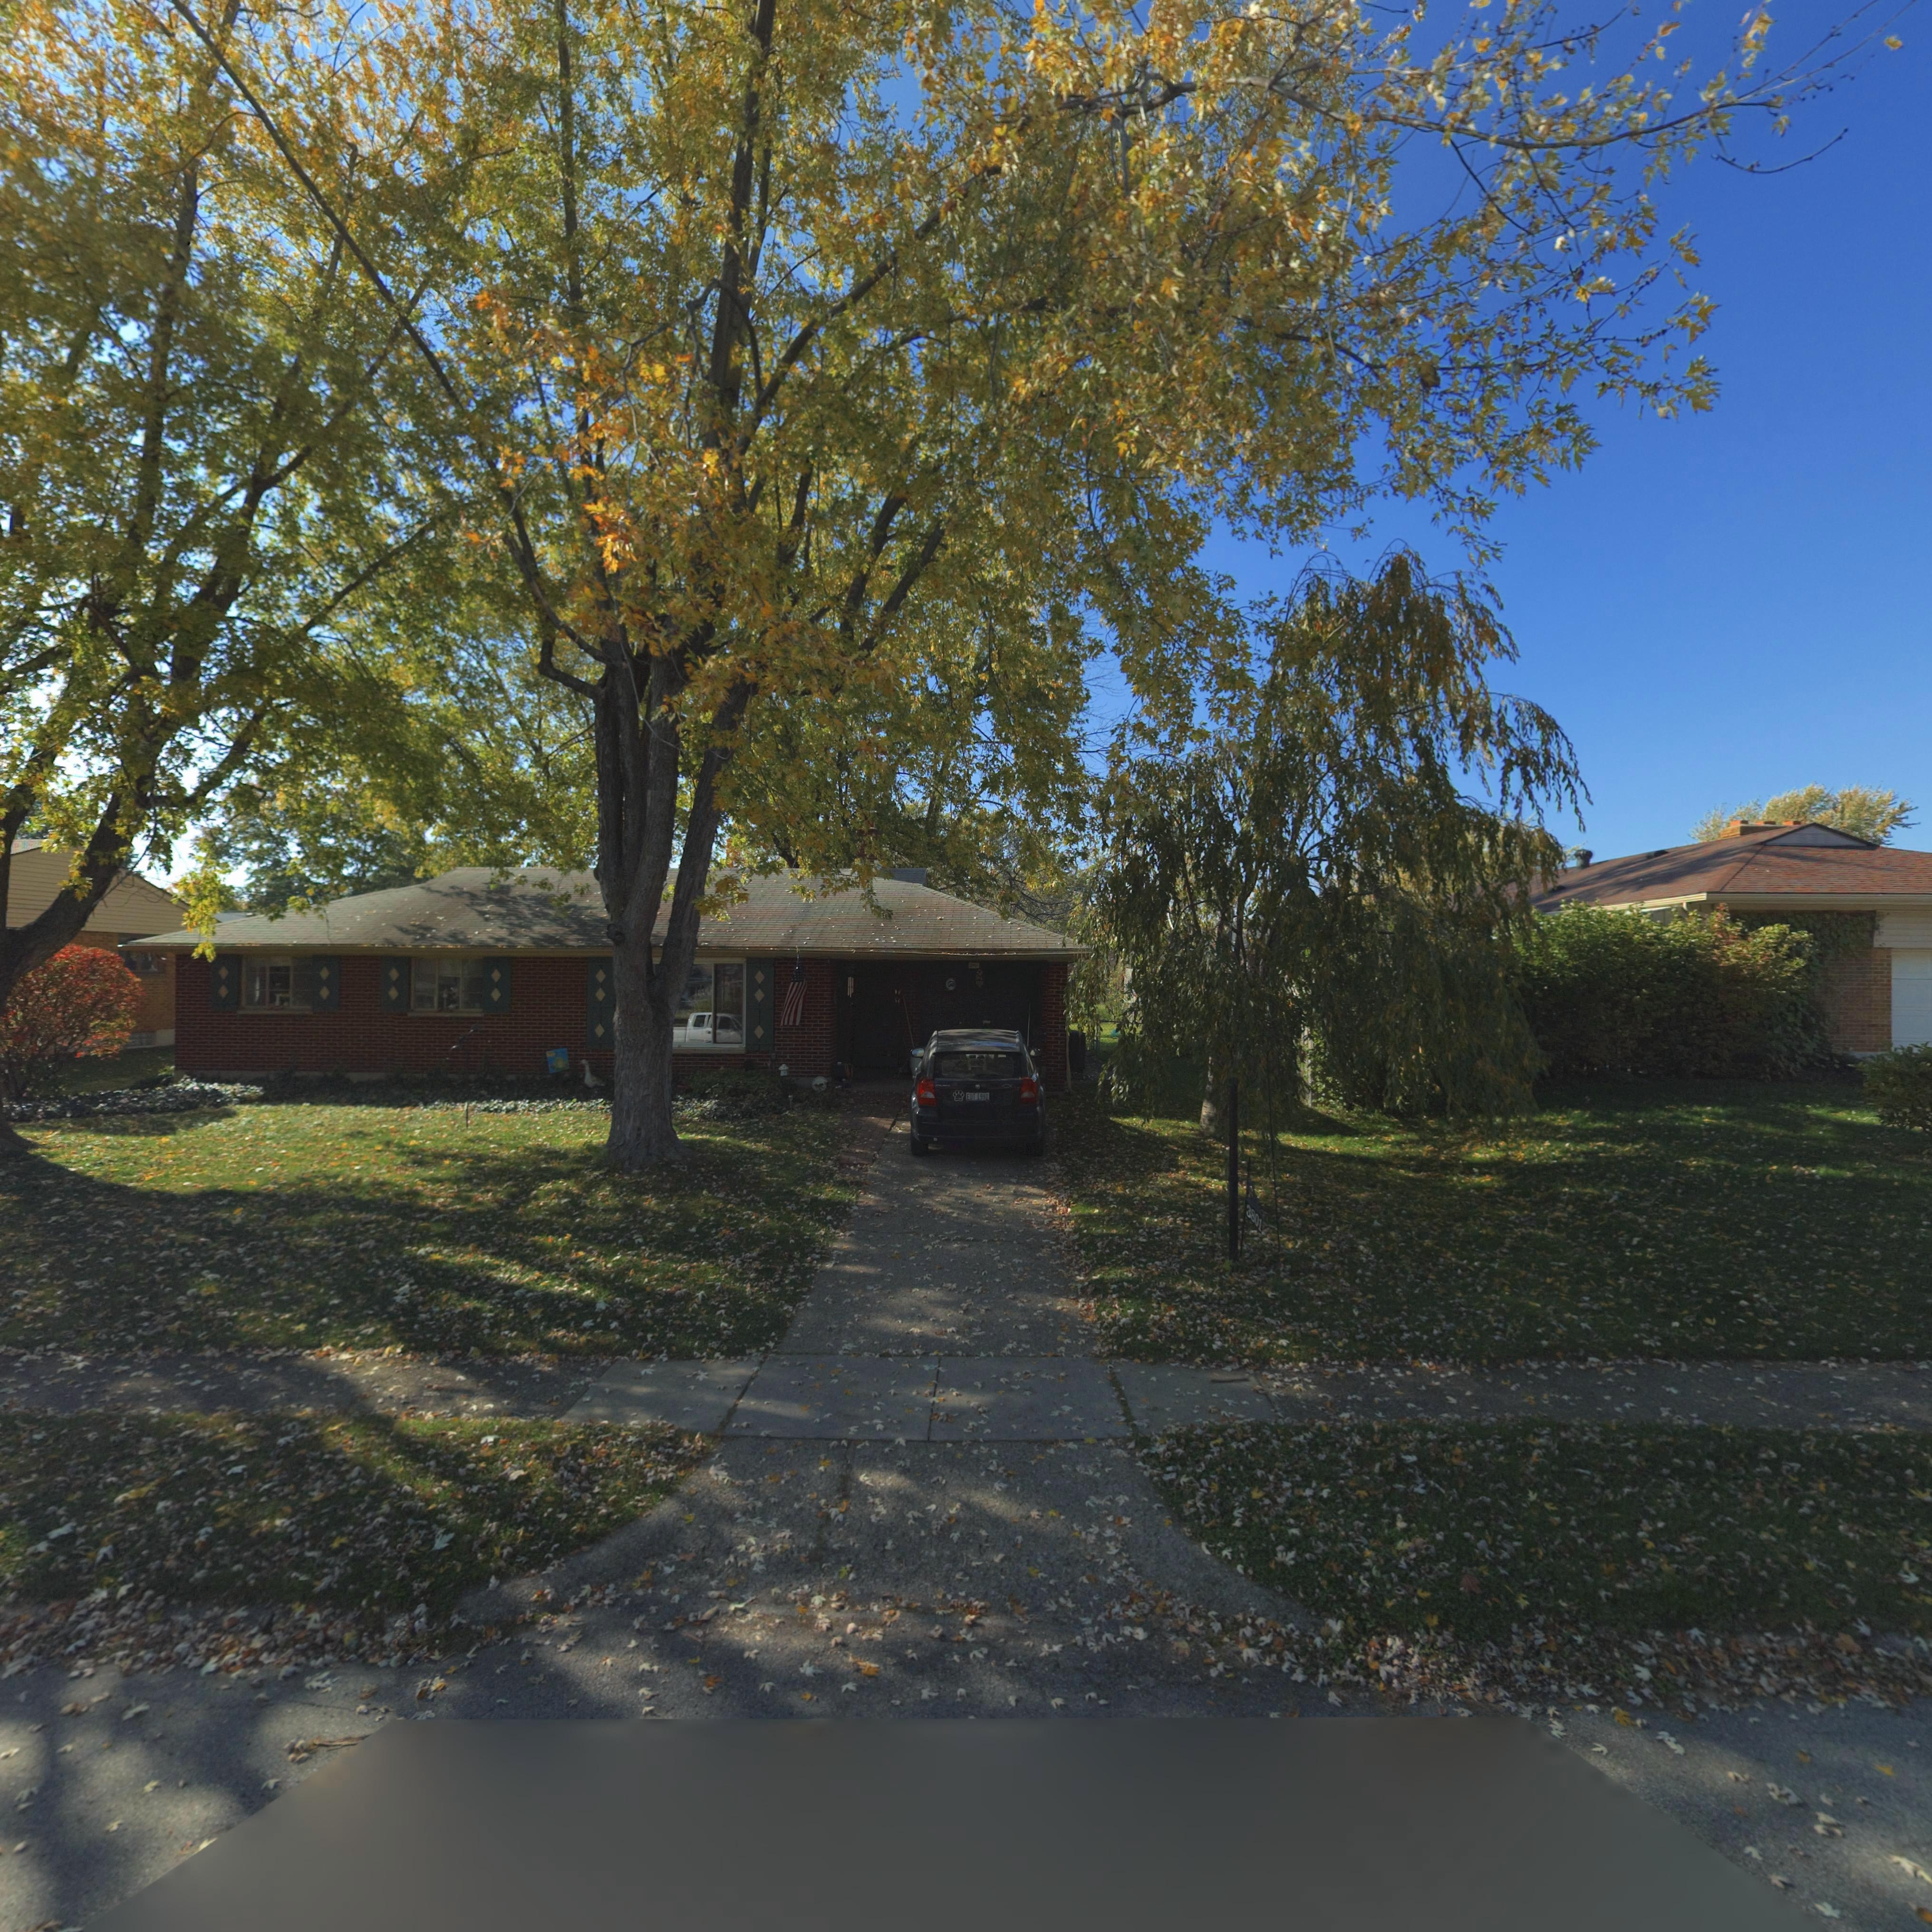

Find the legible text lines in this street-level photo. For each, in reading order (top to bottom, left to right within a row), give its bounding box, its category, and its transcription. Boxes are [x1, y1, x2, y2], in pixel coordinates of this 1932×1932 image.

[966, 1092, 989, 1101] None: EDT 1990
[1245, 1202, 1264, 1235] StreetNumber: 3801